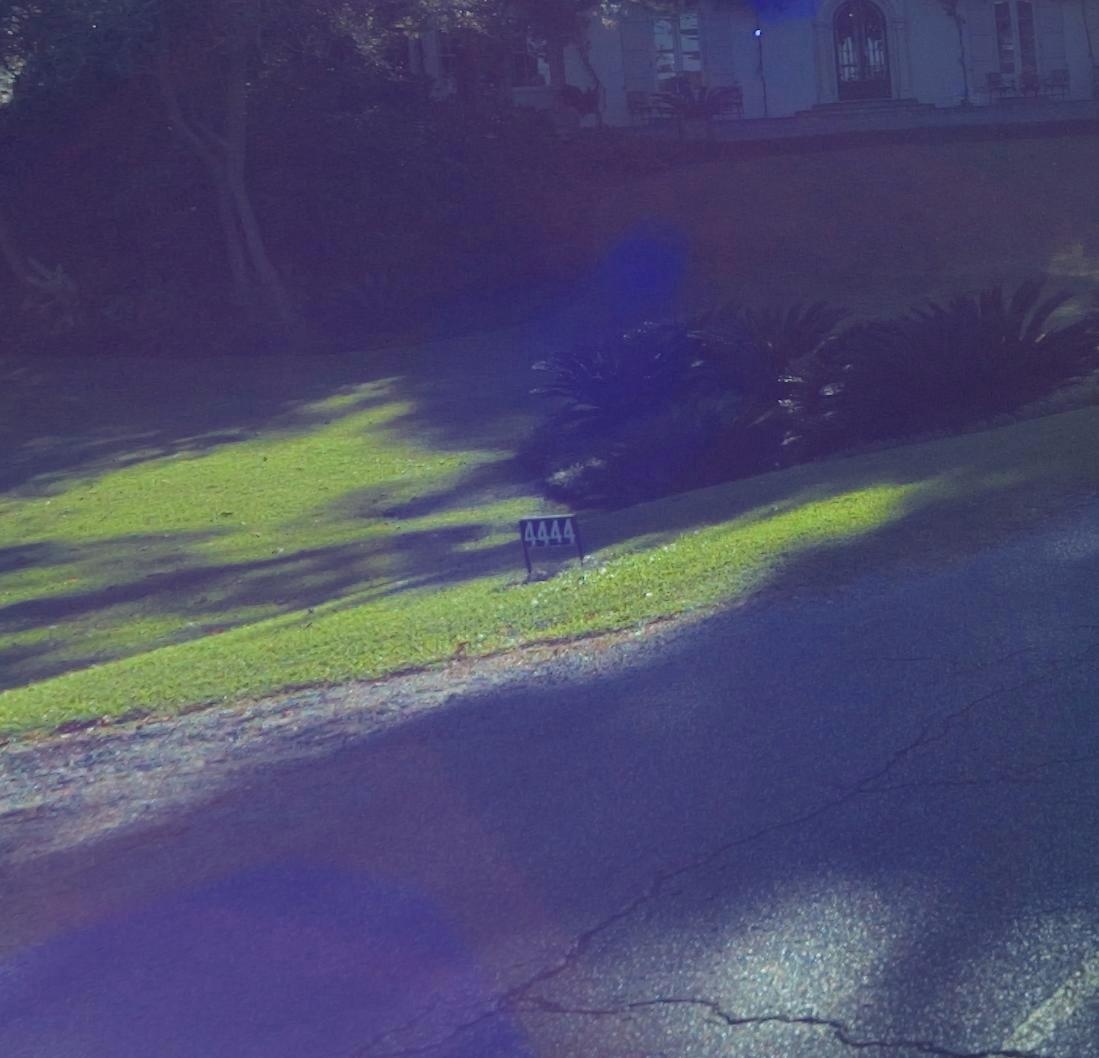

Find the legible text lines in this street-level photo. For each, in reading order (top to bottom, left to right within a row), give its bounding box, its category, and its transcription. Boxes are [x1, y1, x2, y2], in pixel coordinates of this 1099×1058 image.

[521, 515, 579, 549] StreetNumber: 4444